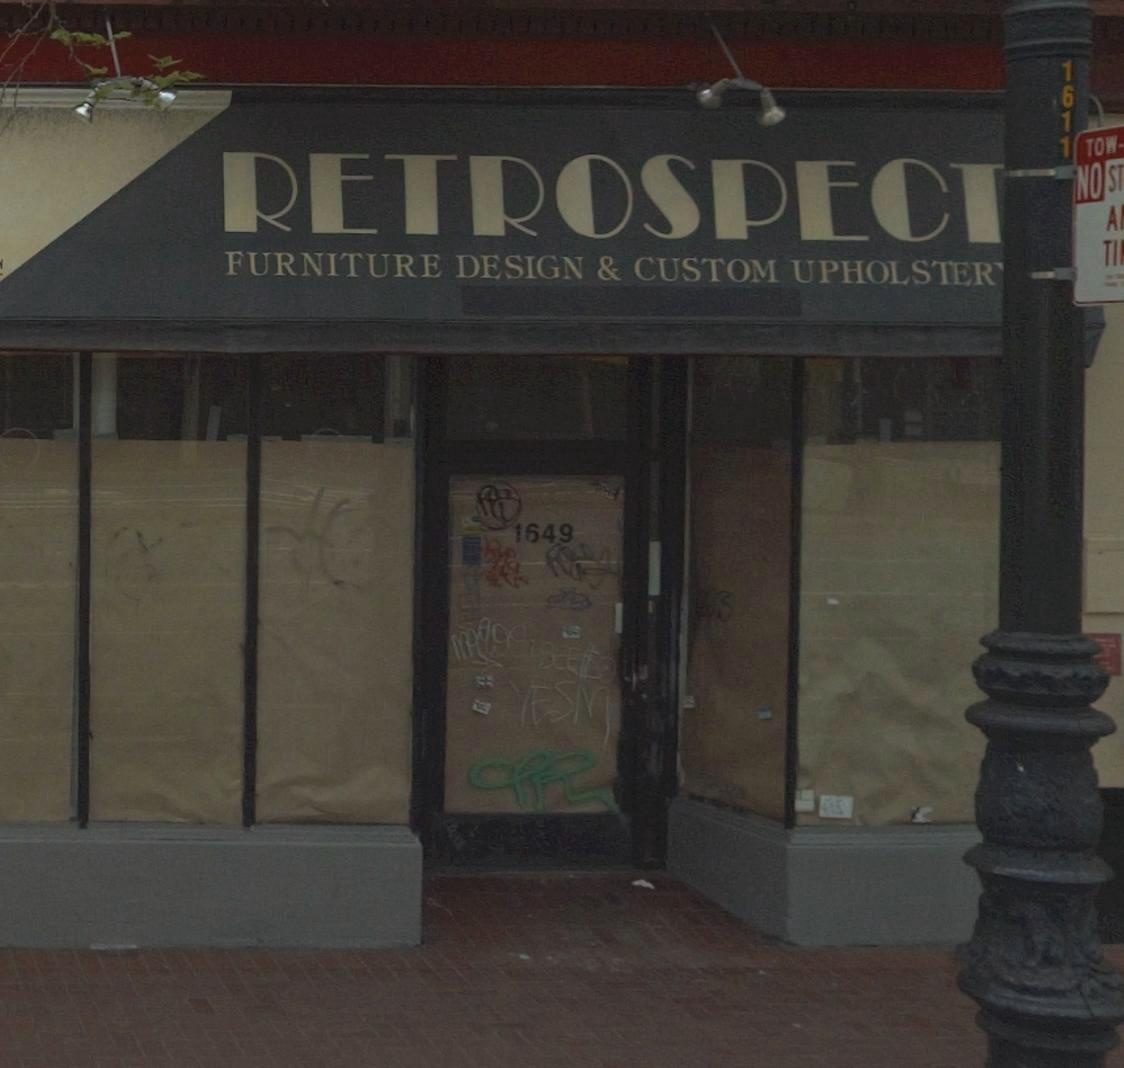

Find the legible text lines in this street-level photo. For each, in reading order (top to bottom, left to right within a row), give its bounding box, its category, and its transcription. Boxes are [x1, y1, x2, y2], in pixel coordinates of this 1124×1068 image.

[1057, 56, 1077, 160] None: 1611
[1082, 130, 1121, 161] None: TOW
[215, 142, 1013, 249] BusinessName: RETROSPECT
[1072, 157, 1120, 205] None: NO S
[1103, 201, 1121, 235] None: A
[217, 246, 1005, 291] None: FURNITURE DESIGN & CUSTOM UPHOLSTER
[1099, 236, 1121, 269] None: TI
[513, 521, 576, 545] StreetNumber: 1649